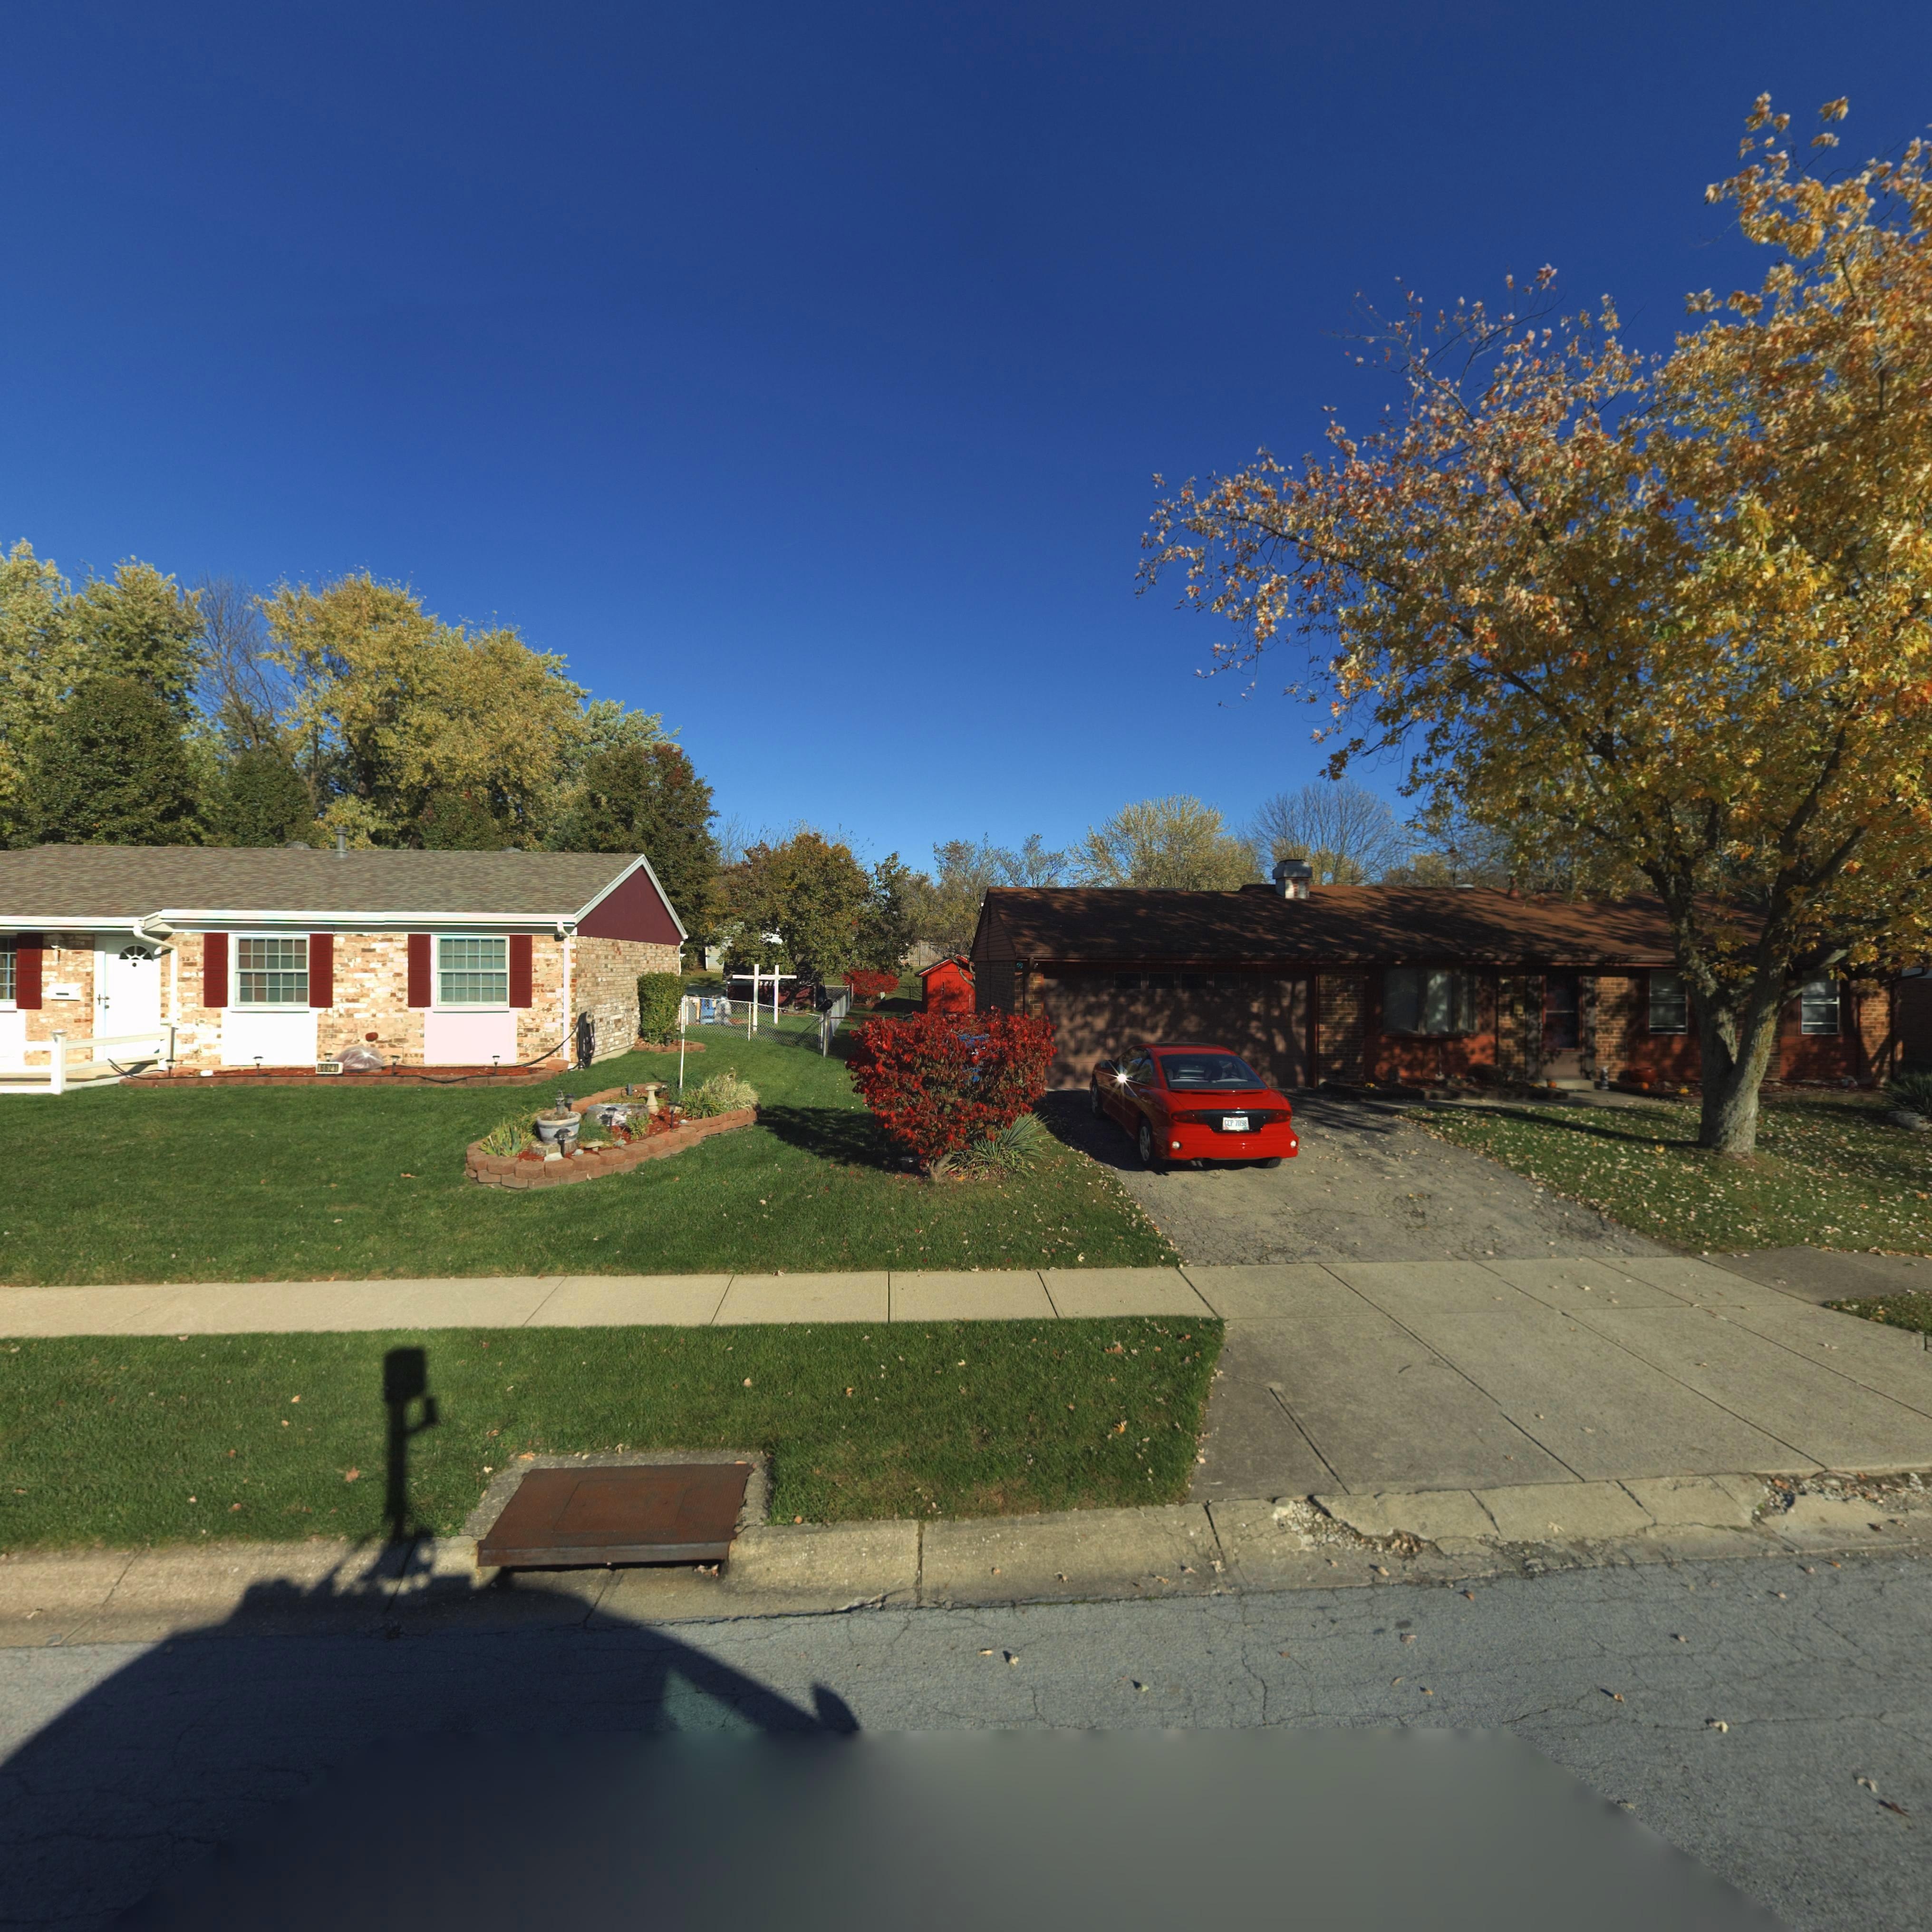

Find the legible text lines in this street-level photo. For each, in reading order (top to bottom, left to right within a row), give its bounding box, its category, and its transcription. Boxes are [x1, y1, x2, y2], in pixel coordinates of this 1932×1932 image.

[320, 1064, 337, 1072] StreetNumber: 6621